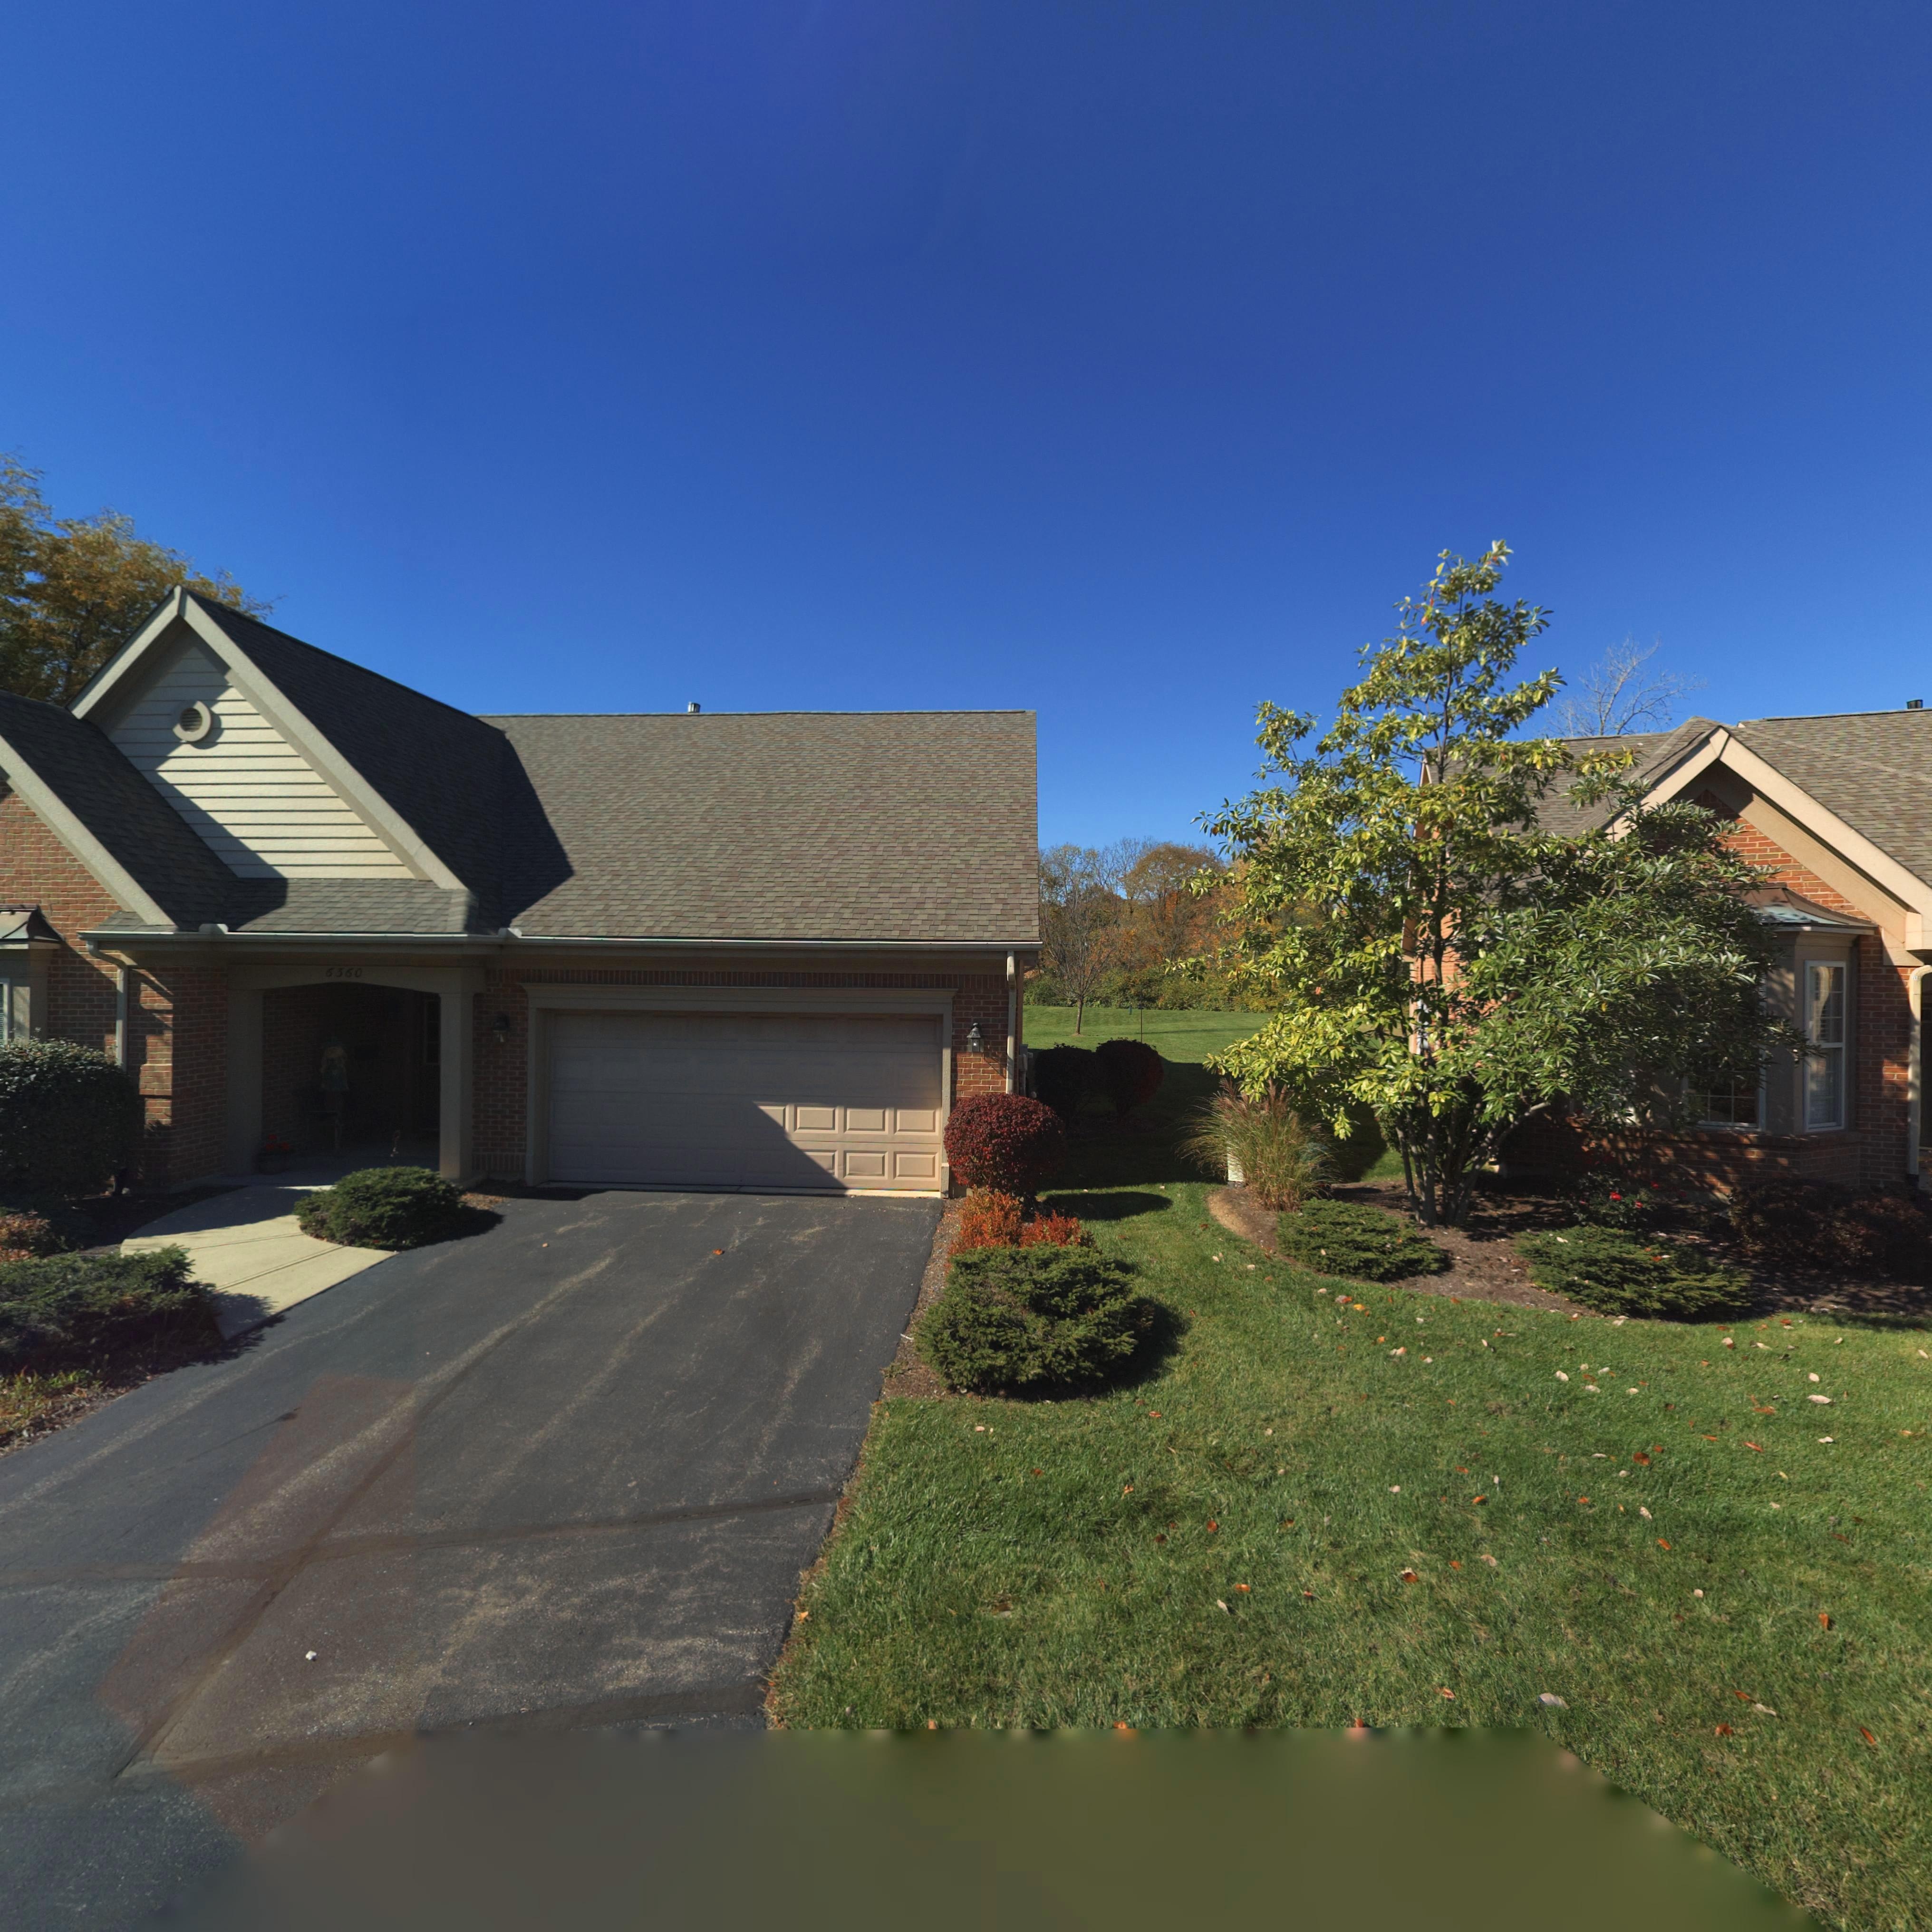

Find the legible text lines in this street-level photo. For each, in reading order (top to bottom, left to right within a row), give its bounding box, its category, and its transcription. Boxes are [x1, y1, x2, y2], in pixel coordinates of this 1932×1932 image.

[324, 966, 364, 979] StreetNumber: 6360